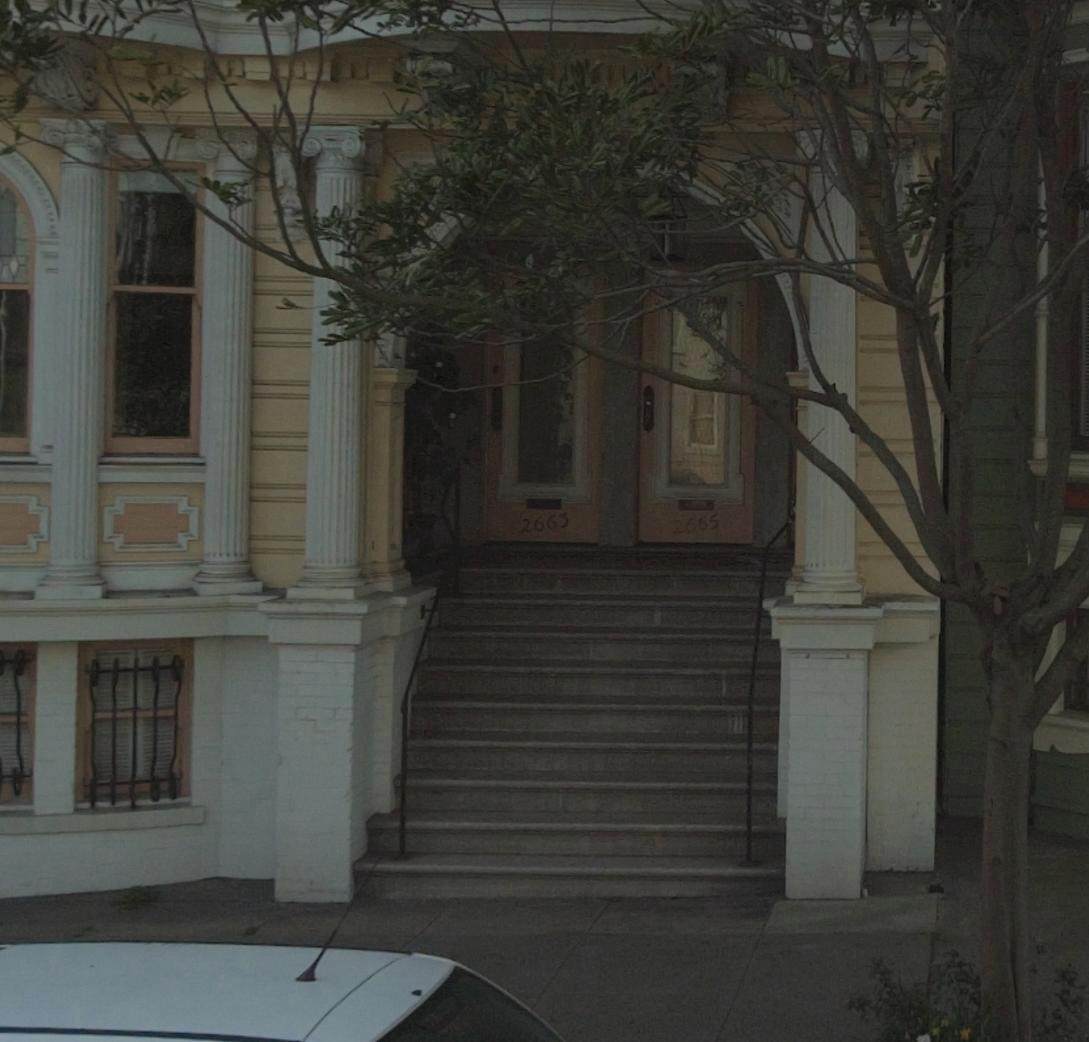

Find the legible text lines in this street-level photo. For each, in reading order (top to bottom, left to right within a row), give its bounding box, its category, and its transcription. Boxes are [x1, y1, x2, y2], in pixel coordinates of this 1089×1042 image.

[519, 508, 571, 535] StreetNumber: 2663
[669, 511, 722, 537] StreetNumber: 2665